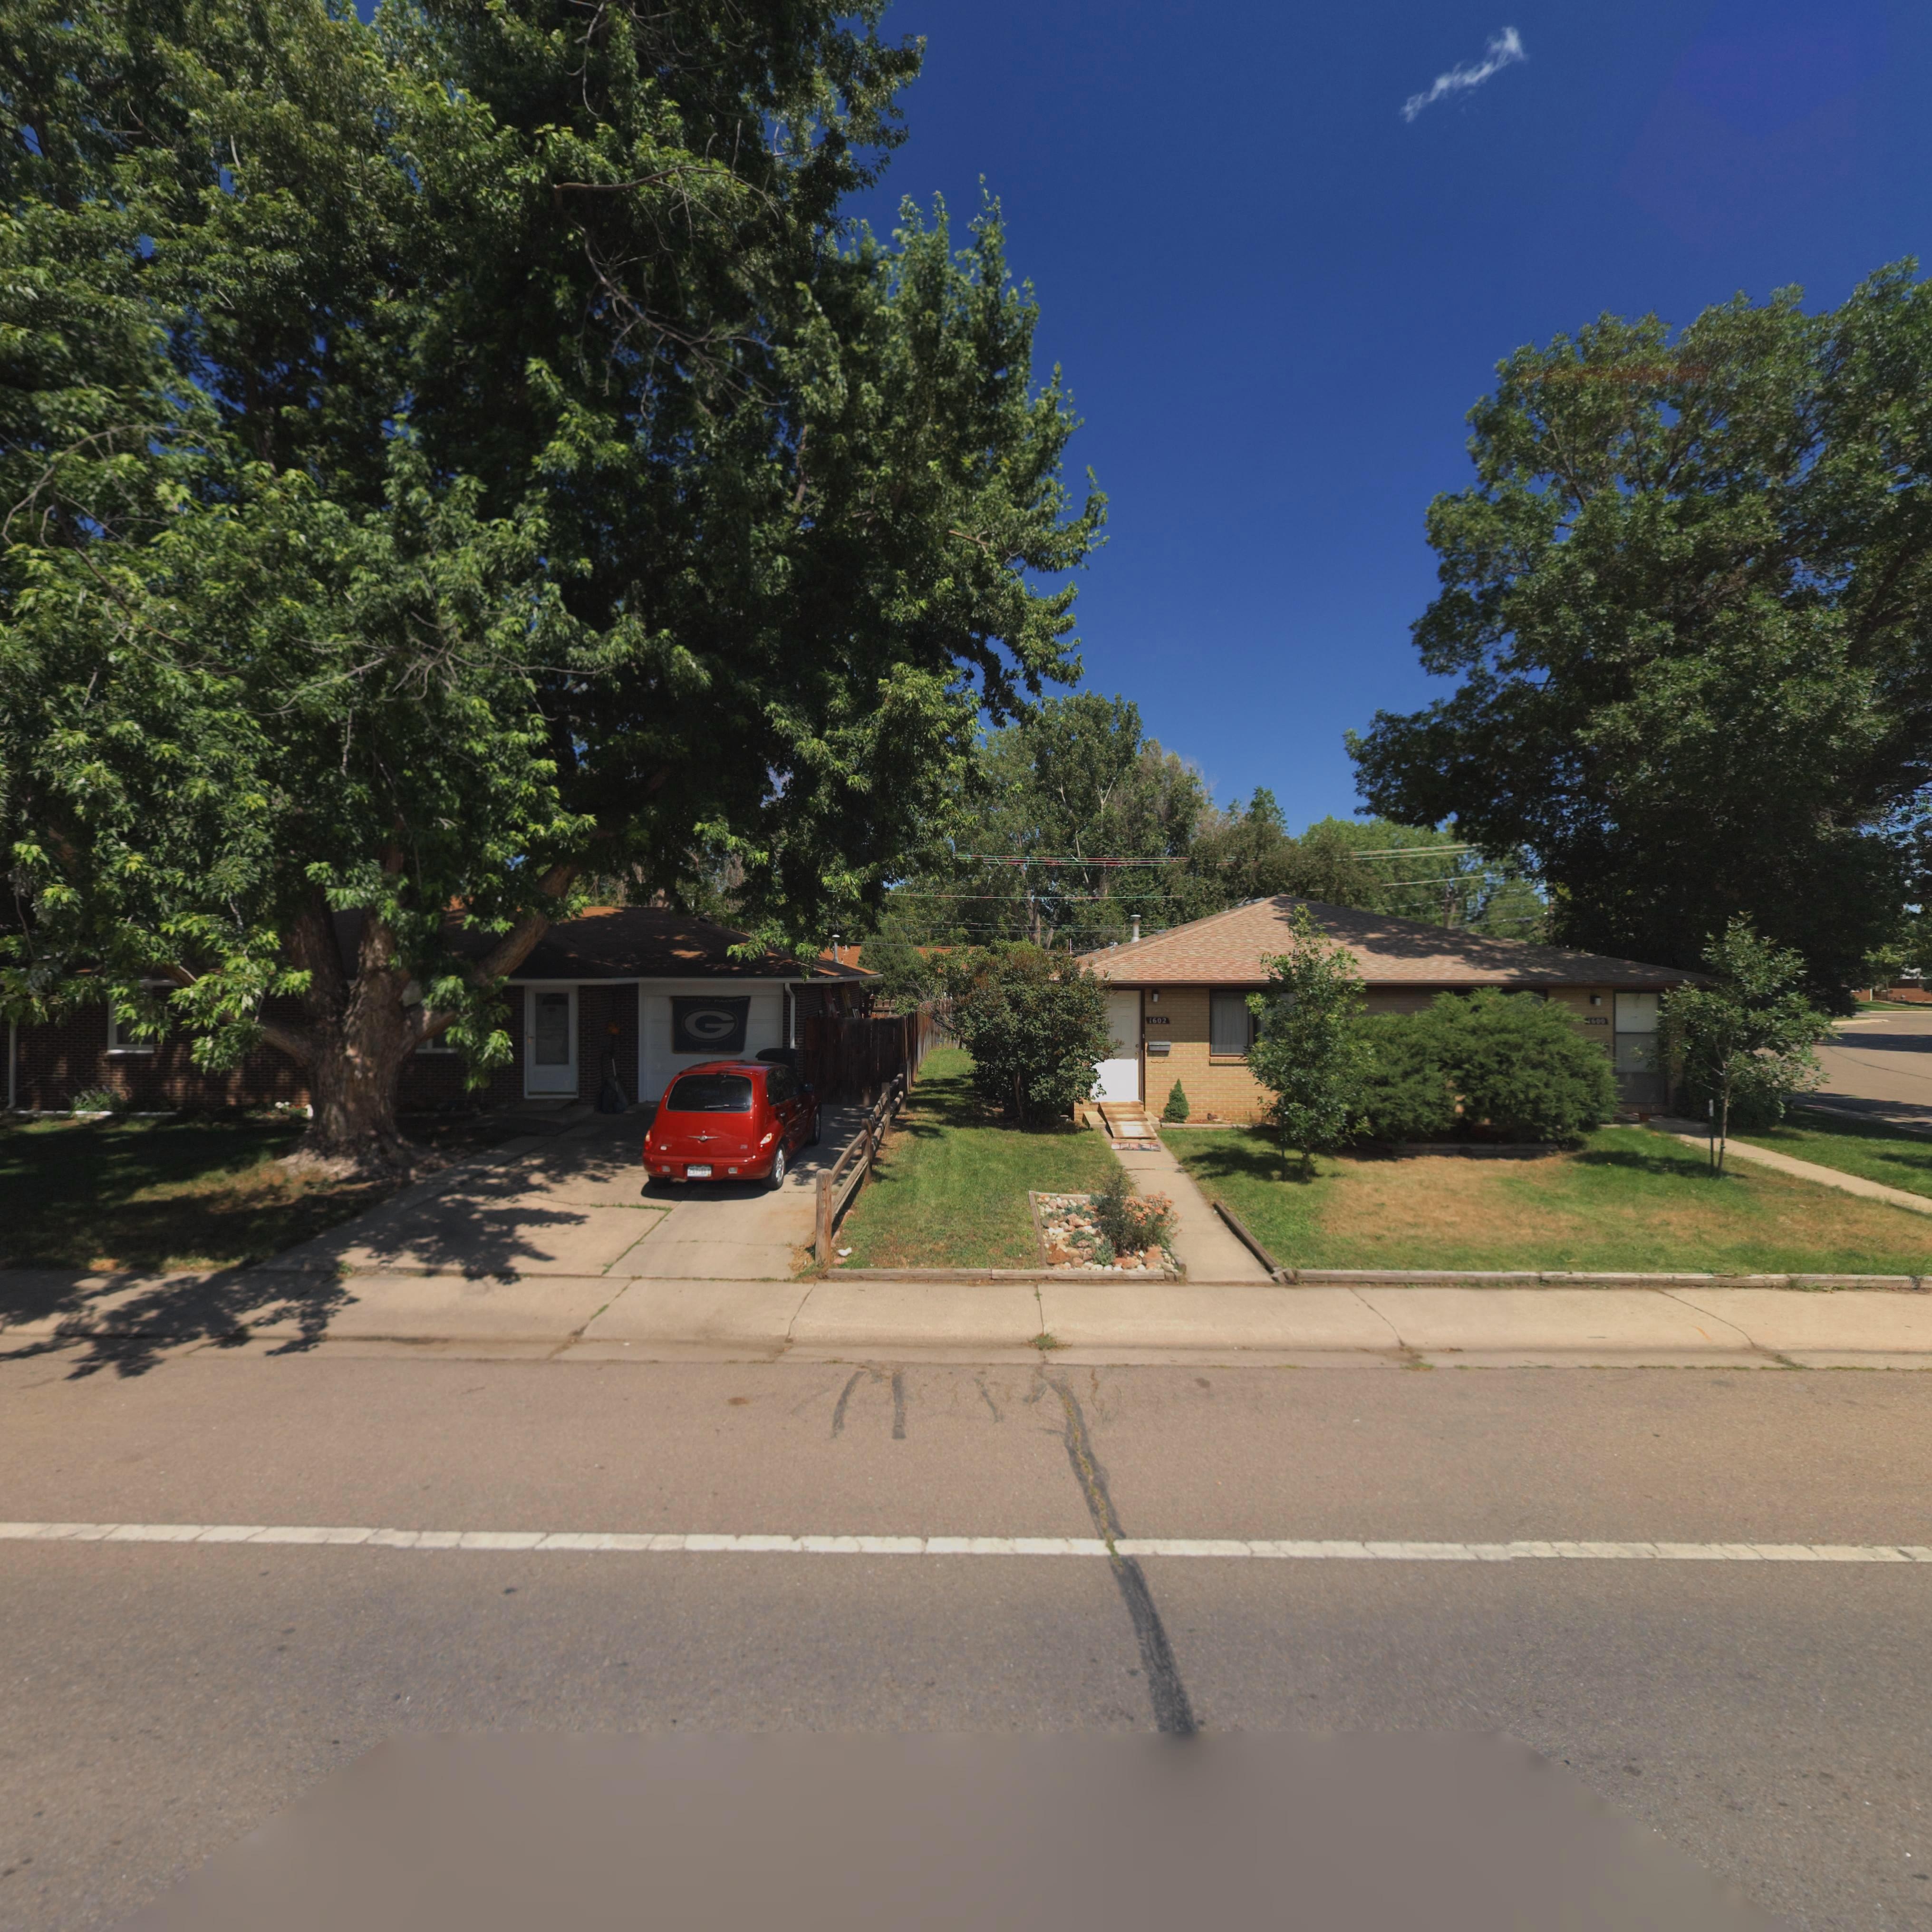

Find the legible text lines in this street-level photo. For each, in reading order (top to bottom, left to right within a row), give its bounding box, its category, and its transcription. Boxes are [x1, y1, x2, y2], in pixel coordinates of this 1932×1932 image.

[1149, 1017, 1167, 1024] StreetNumber: 1602
[1587, 1017, 1605, 1024] StreetNumber: *600